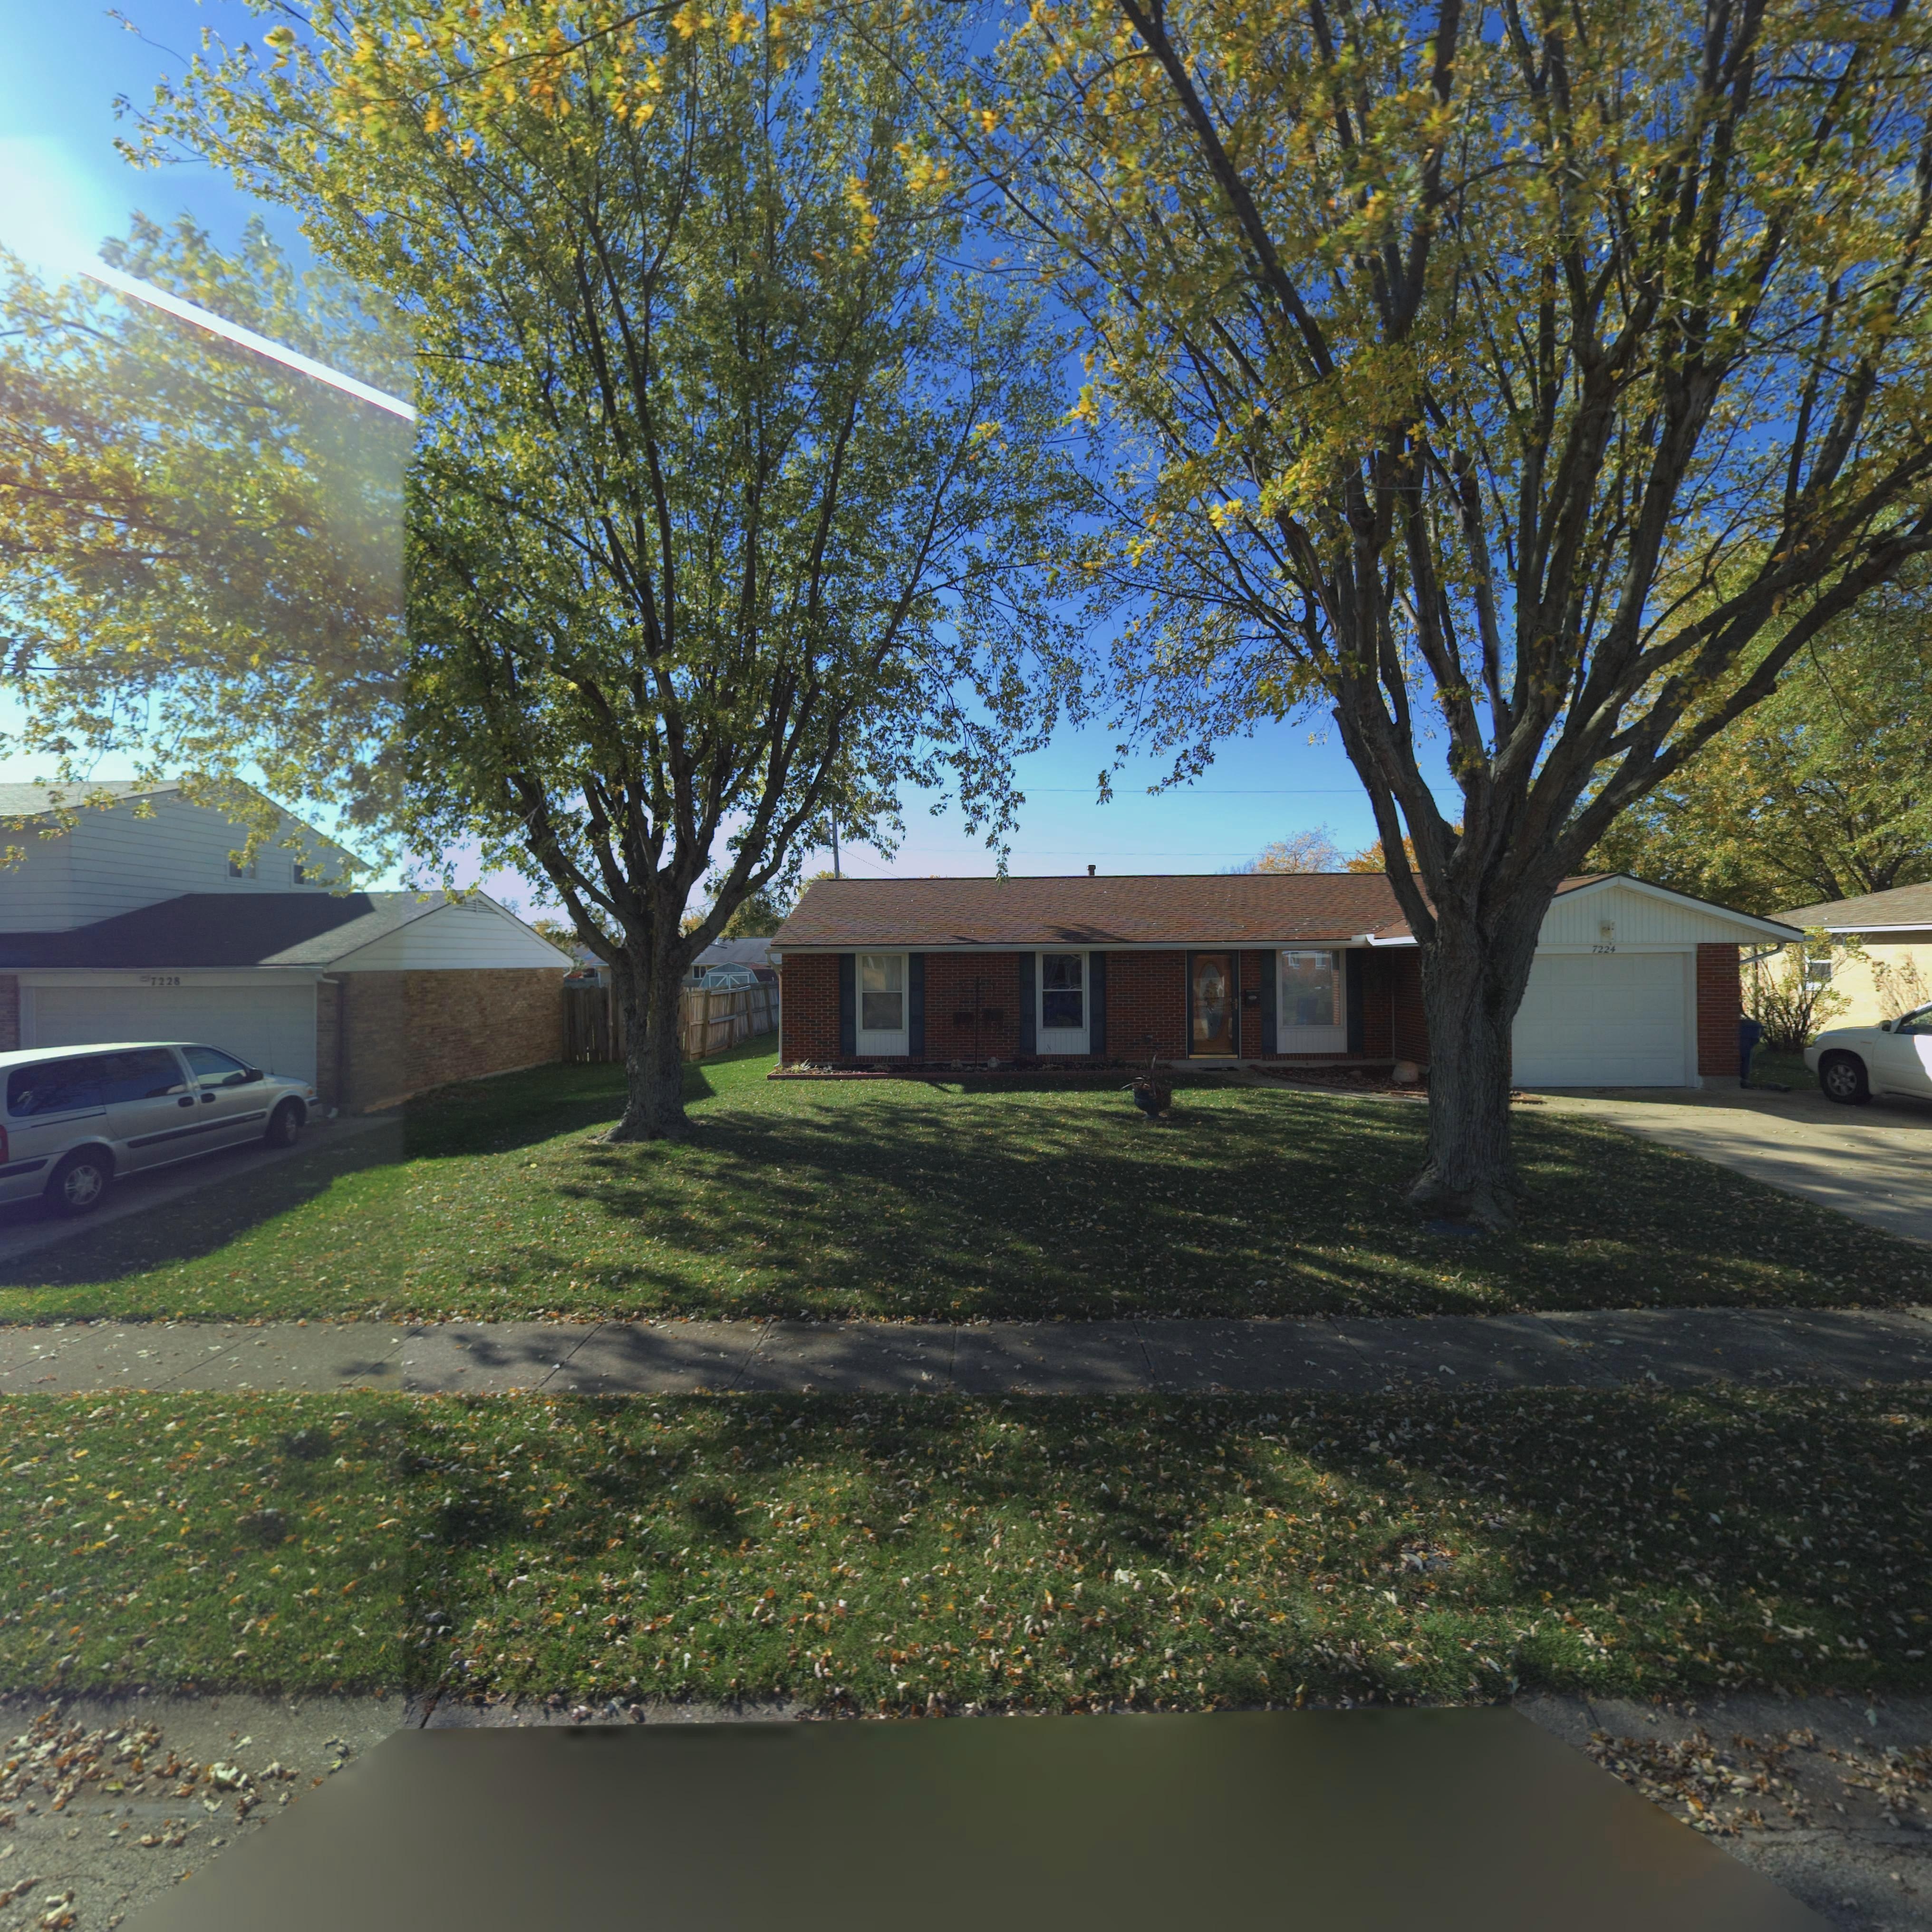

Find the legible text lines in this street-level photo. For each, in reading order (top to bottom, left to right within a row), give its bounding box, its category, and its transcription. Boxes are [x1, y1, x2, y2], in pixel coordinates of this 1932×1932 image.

[1591, 945, 1617, 954] StreetNumber: 7224
[150, 976, 181, 987] StreetNumber: 7228